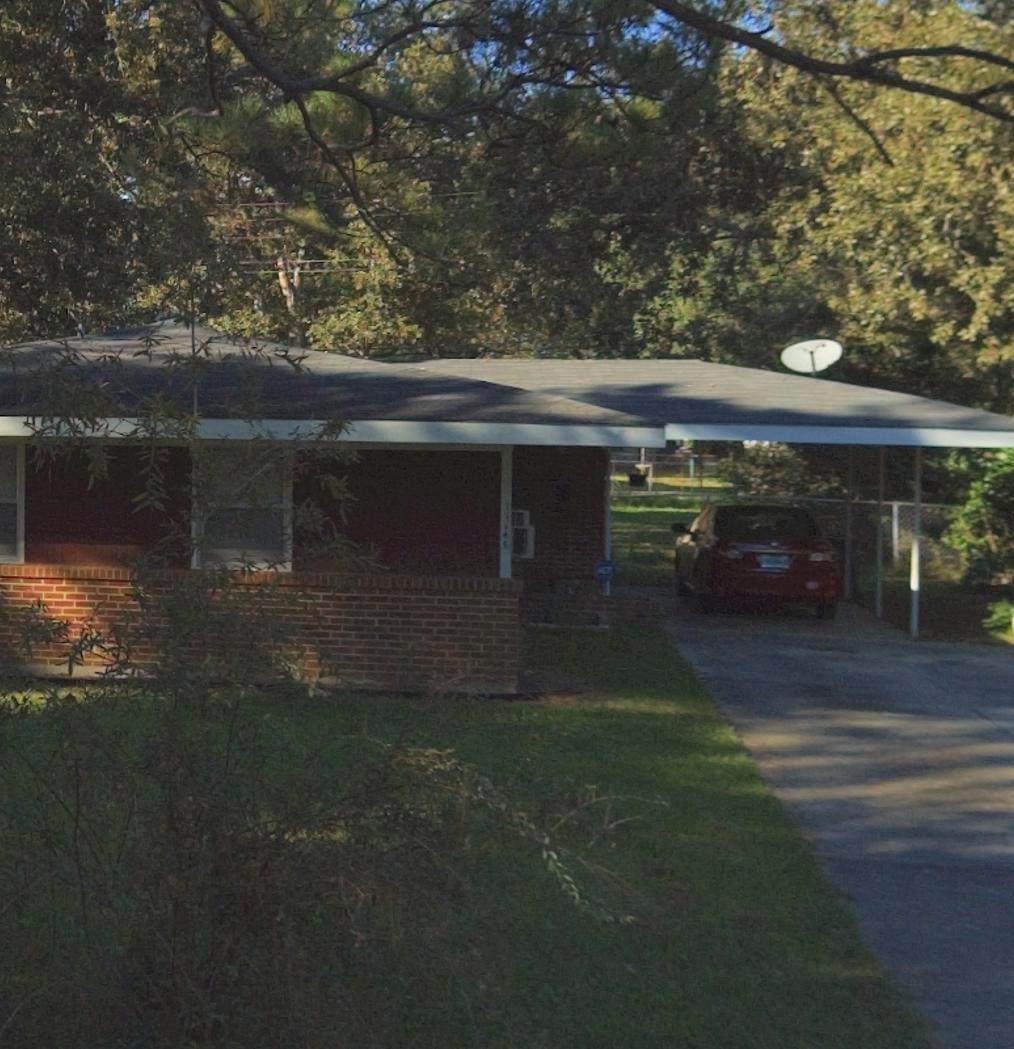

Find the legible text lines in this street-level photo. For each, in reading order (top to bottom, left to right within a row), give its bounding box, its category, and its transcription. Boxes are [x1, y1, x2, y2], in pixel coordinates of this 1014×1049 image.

[501, 501, 511, 549] StreetNumber: 11145